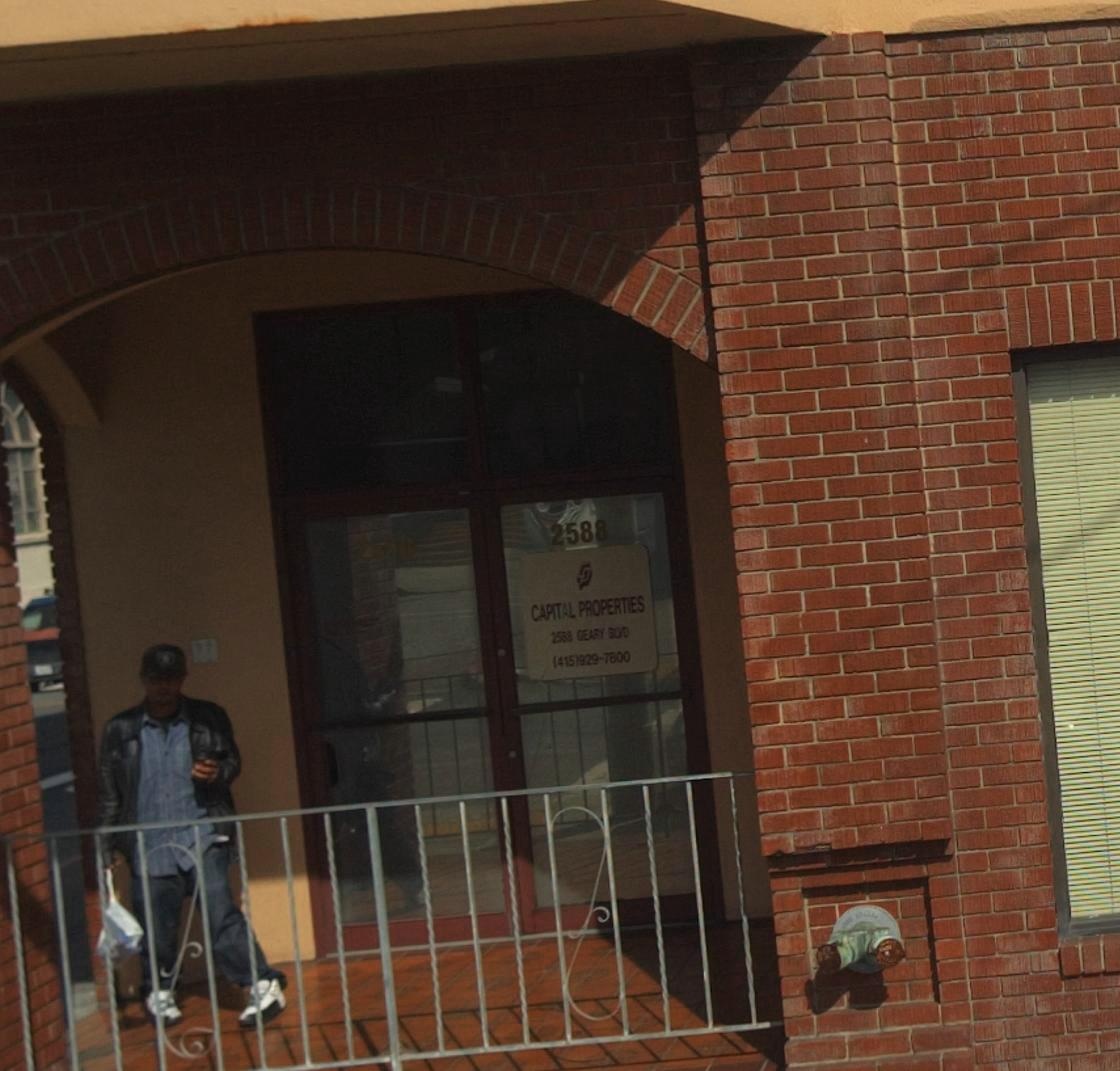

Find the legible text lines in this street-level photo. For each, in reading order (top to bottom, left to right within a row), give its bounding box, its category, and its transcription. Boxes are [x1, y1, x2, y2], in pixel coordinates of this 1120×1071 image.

[547, 516, 611, 548] StreetNumber: 2588
[529, 592, 648, 625] BusinessName: CAPITAL PROPERTIES
[547, 626, 576, 647] StreetNumber: 2588
[574, 623, 633, 645] StreetName: GEARY BLVD
[551, 648, 633, 672] None: (415)929-7800